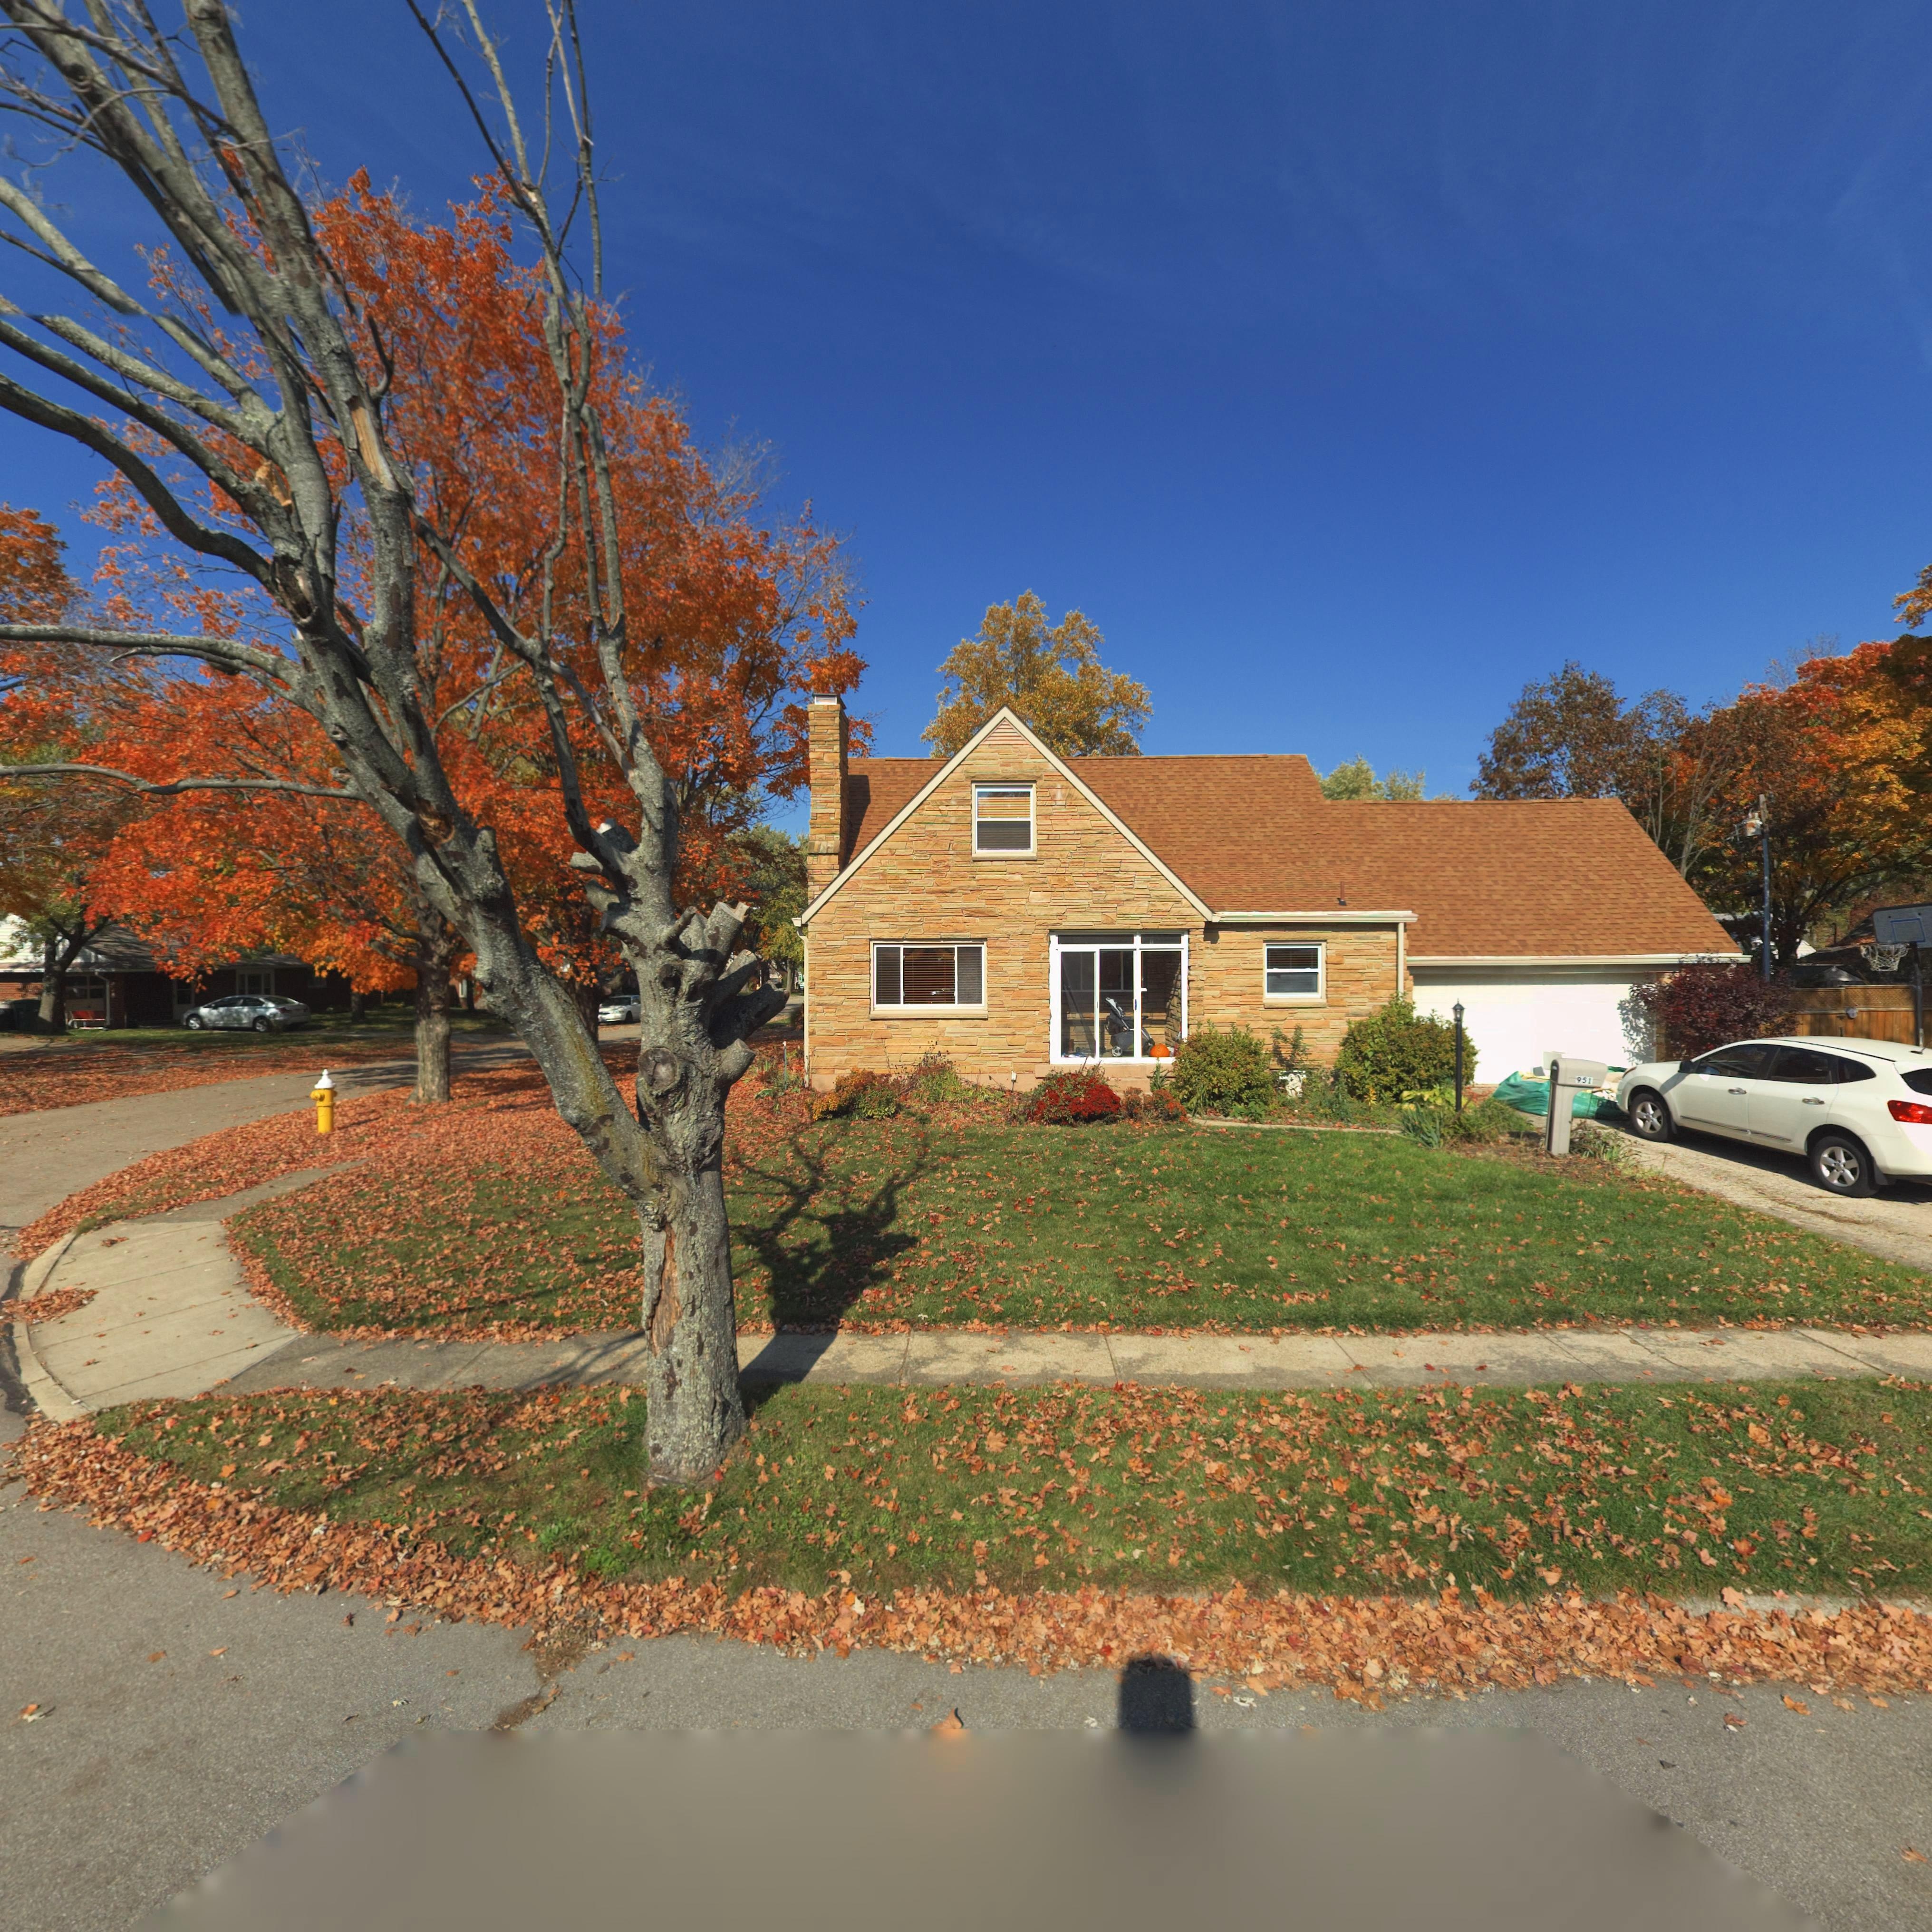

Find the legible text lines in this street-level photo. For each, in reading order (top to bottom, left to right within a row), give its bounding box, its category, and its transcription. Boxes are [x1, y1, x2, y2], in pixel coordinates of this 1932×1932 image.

[1575, 1075, 1593, 1085] StreetNumber: 951